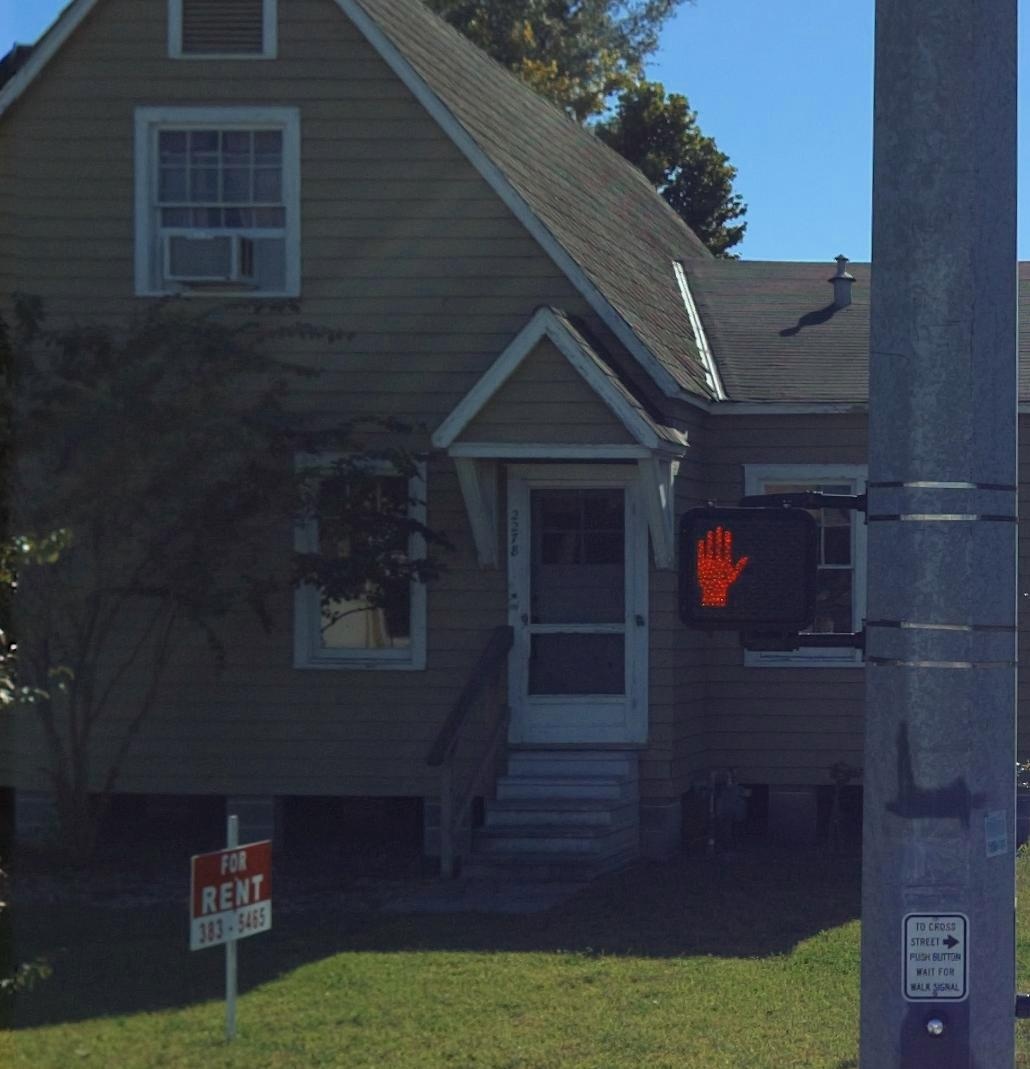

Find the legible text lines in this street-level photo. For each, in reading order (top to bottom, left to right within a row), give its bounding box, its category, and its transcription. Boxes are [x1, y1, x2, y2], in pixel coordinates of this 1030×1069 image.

[508, 507, 521, 559] StreetNumber: 2278
[217, 847, 250, 879] None: FOR
[199, 869, 267, 918] None: RENT
[196, 901, 268, 947] None: 383-5465
[911, 919, 959, 934] None: TO CROSS
[907, 935, 943, 950] None: STREET
[907, 949, 964, 963] None: PUSH BUTTON
[914, 965, 957, 978] None: WAIT FOR
[908, 980, 962, 993] None: WALK SIGNAL